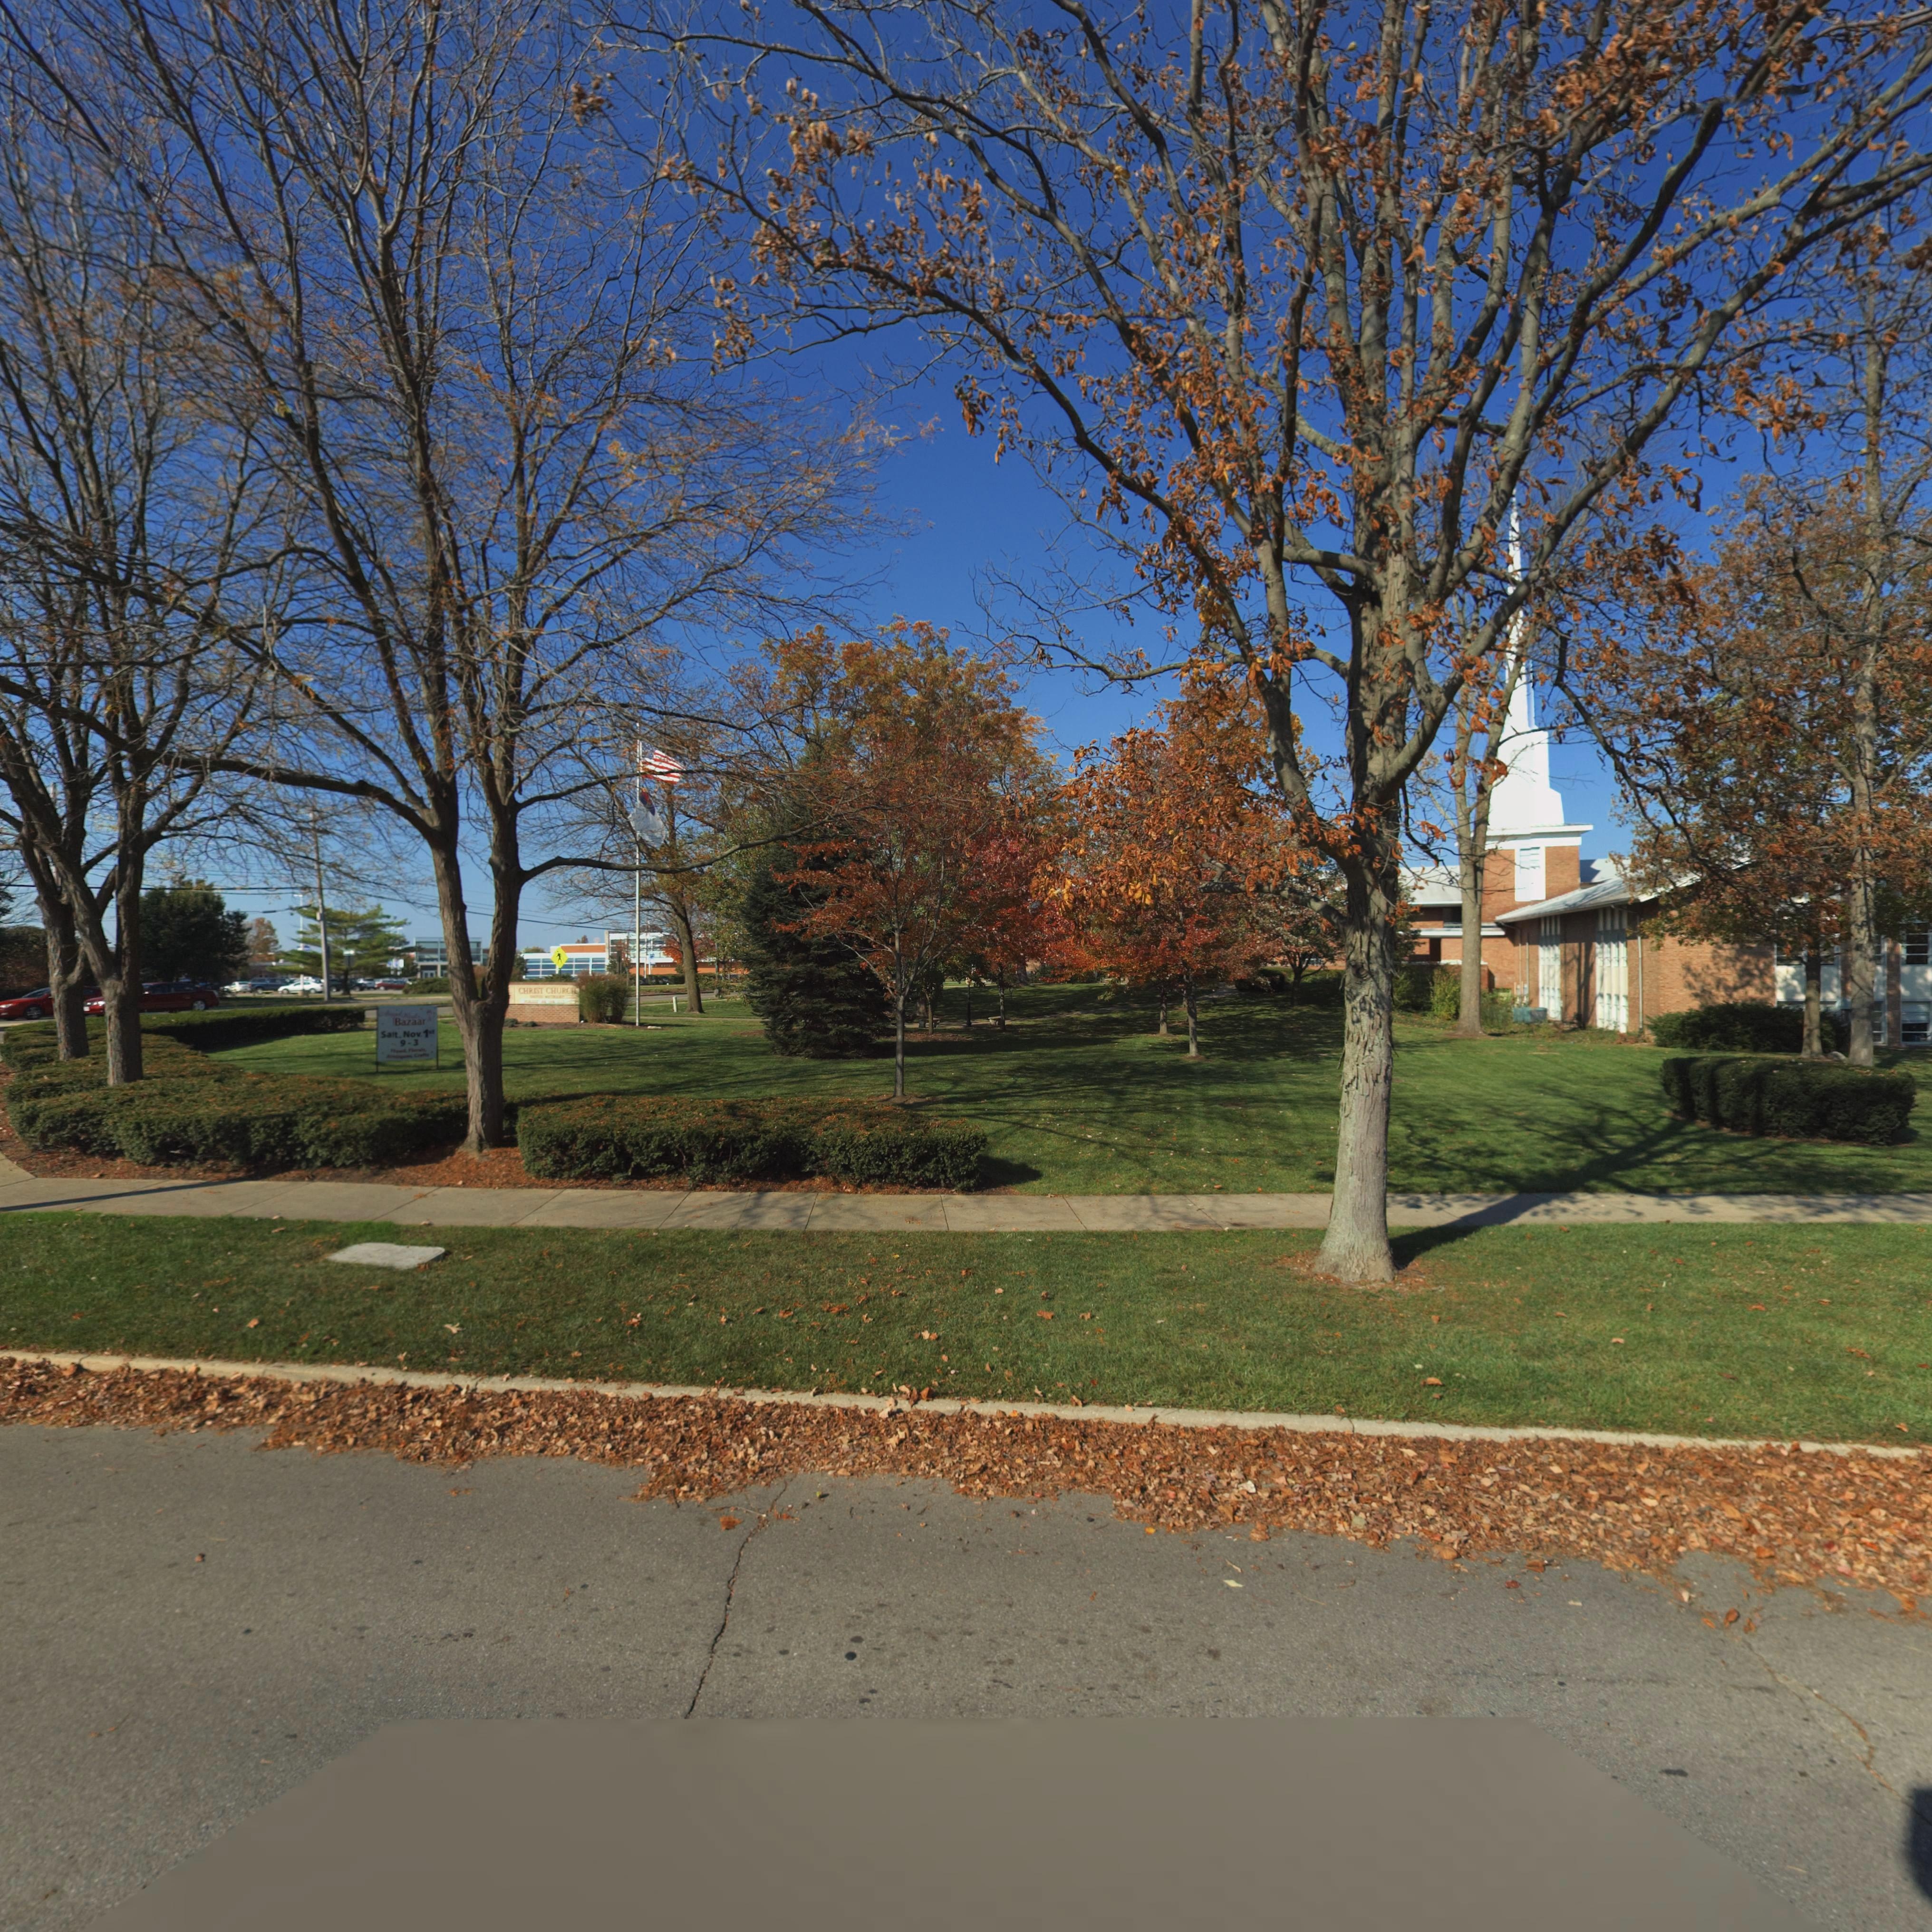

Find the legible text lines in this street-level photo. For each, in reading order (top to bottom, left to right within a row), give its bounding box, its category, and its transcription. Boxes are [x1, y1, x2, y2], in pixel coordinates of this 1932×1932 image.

[518, 987, 578, 995] None: CHRIST CHURCH
[395, 1017, 426, 1026] None: Bazaar
[380, 1029, 437, 1039] None: Sa*t. Nov. 1st
[399, 1039, 419, 1047] None: 9-3